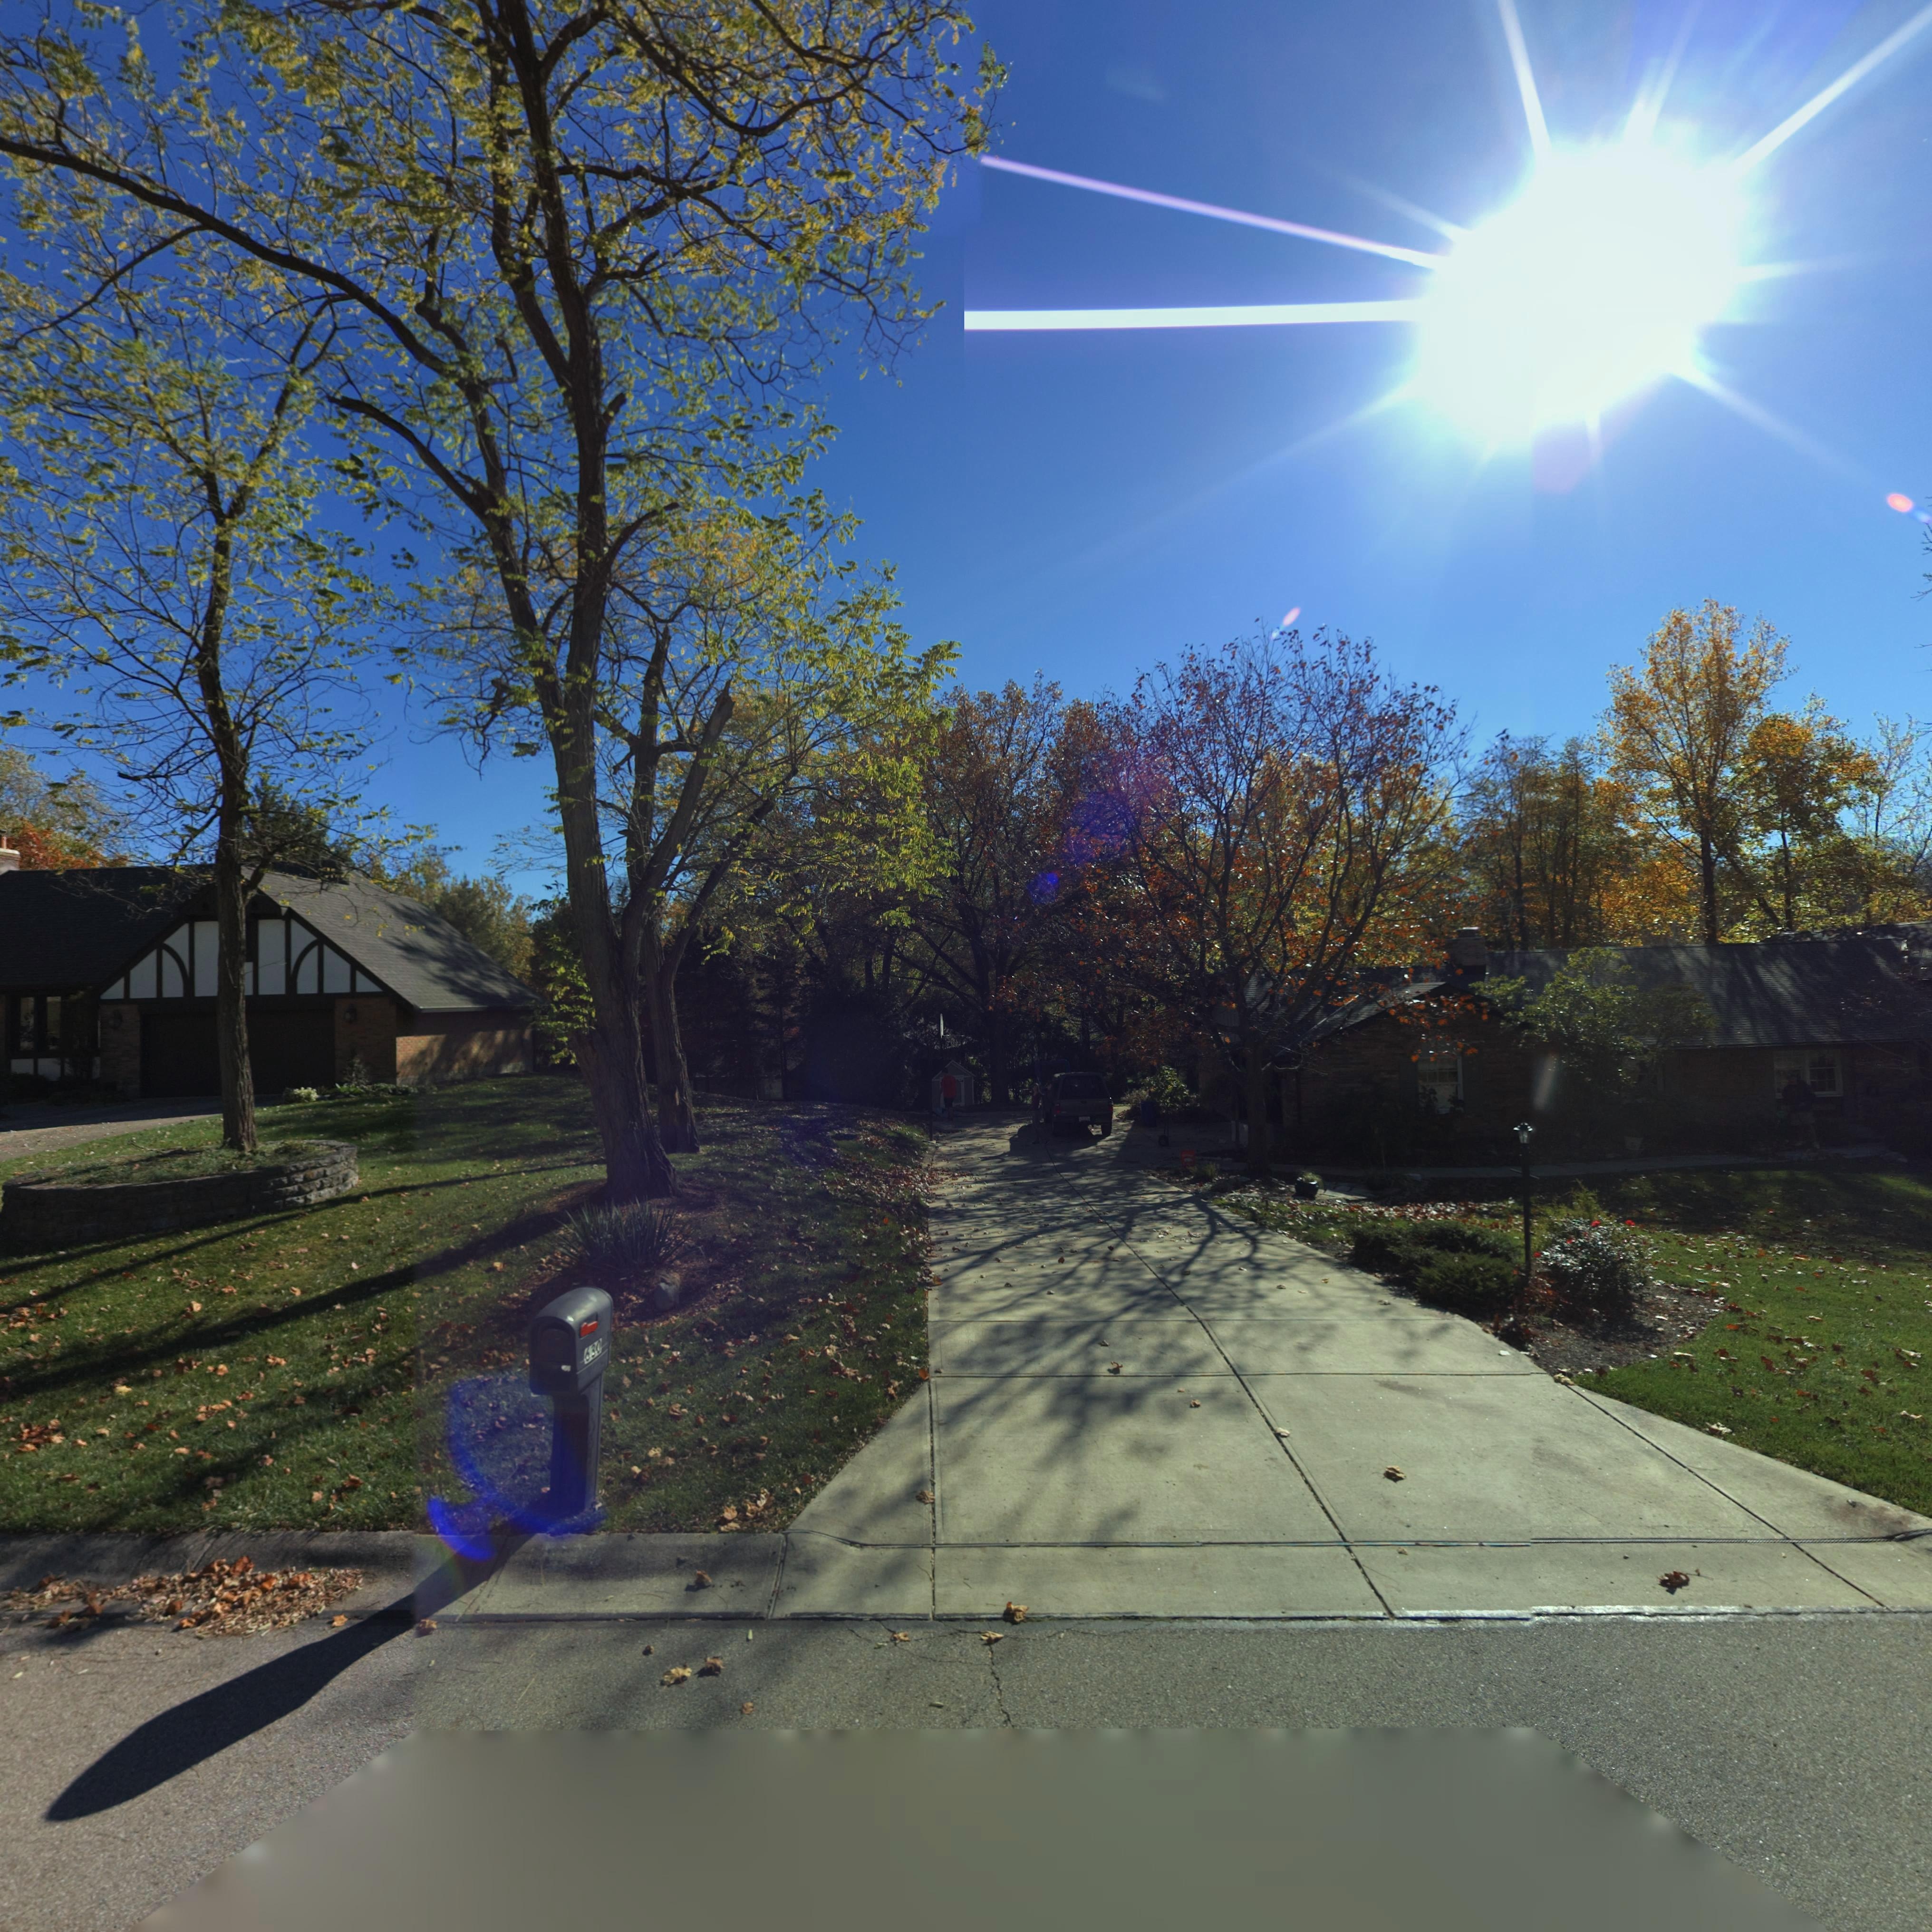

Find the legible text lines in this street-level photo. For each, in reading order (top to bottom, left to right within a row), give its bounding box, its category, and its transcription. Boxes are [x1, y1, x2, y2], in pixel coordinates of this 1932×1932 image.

[583, 1338, 603, 1364] StreetNumber: 630